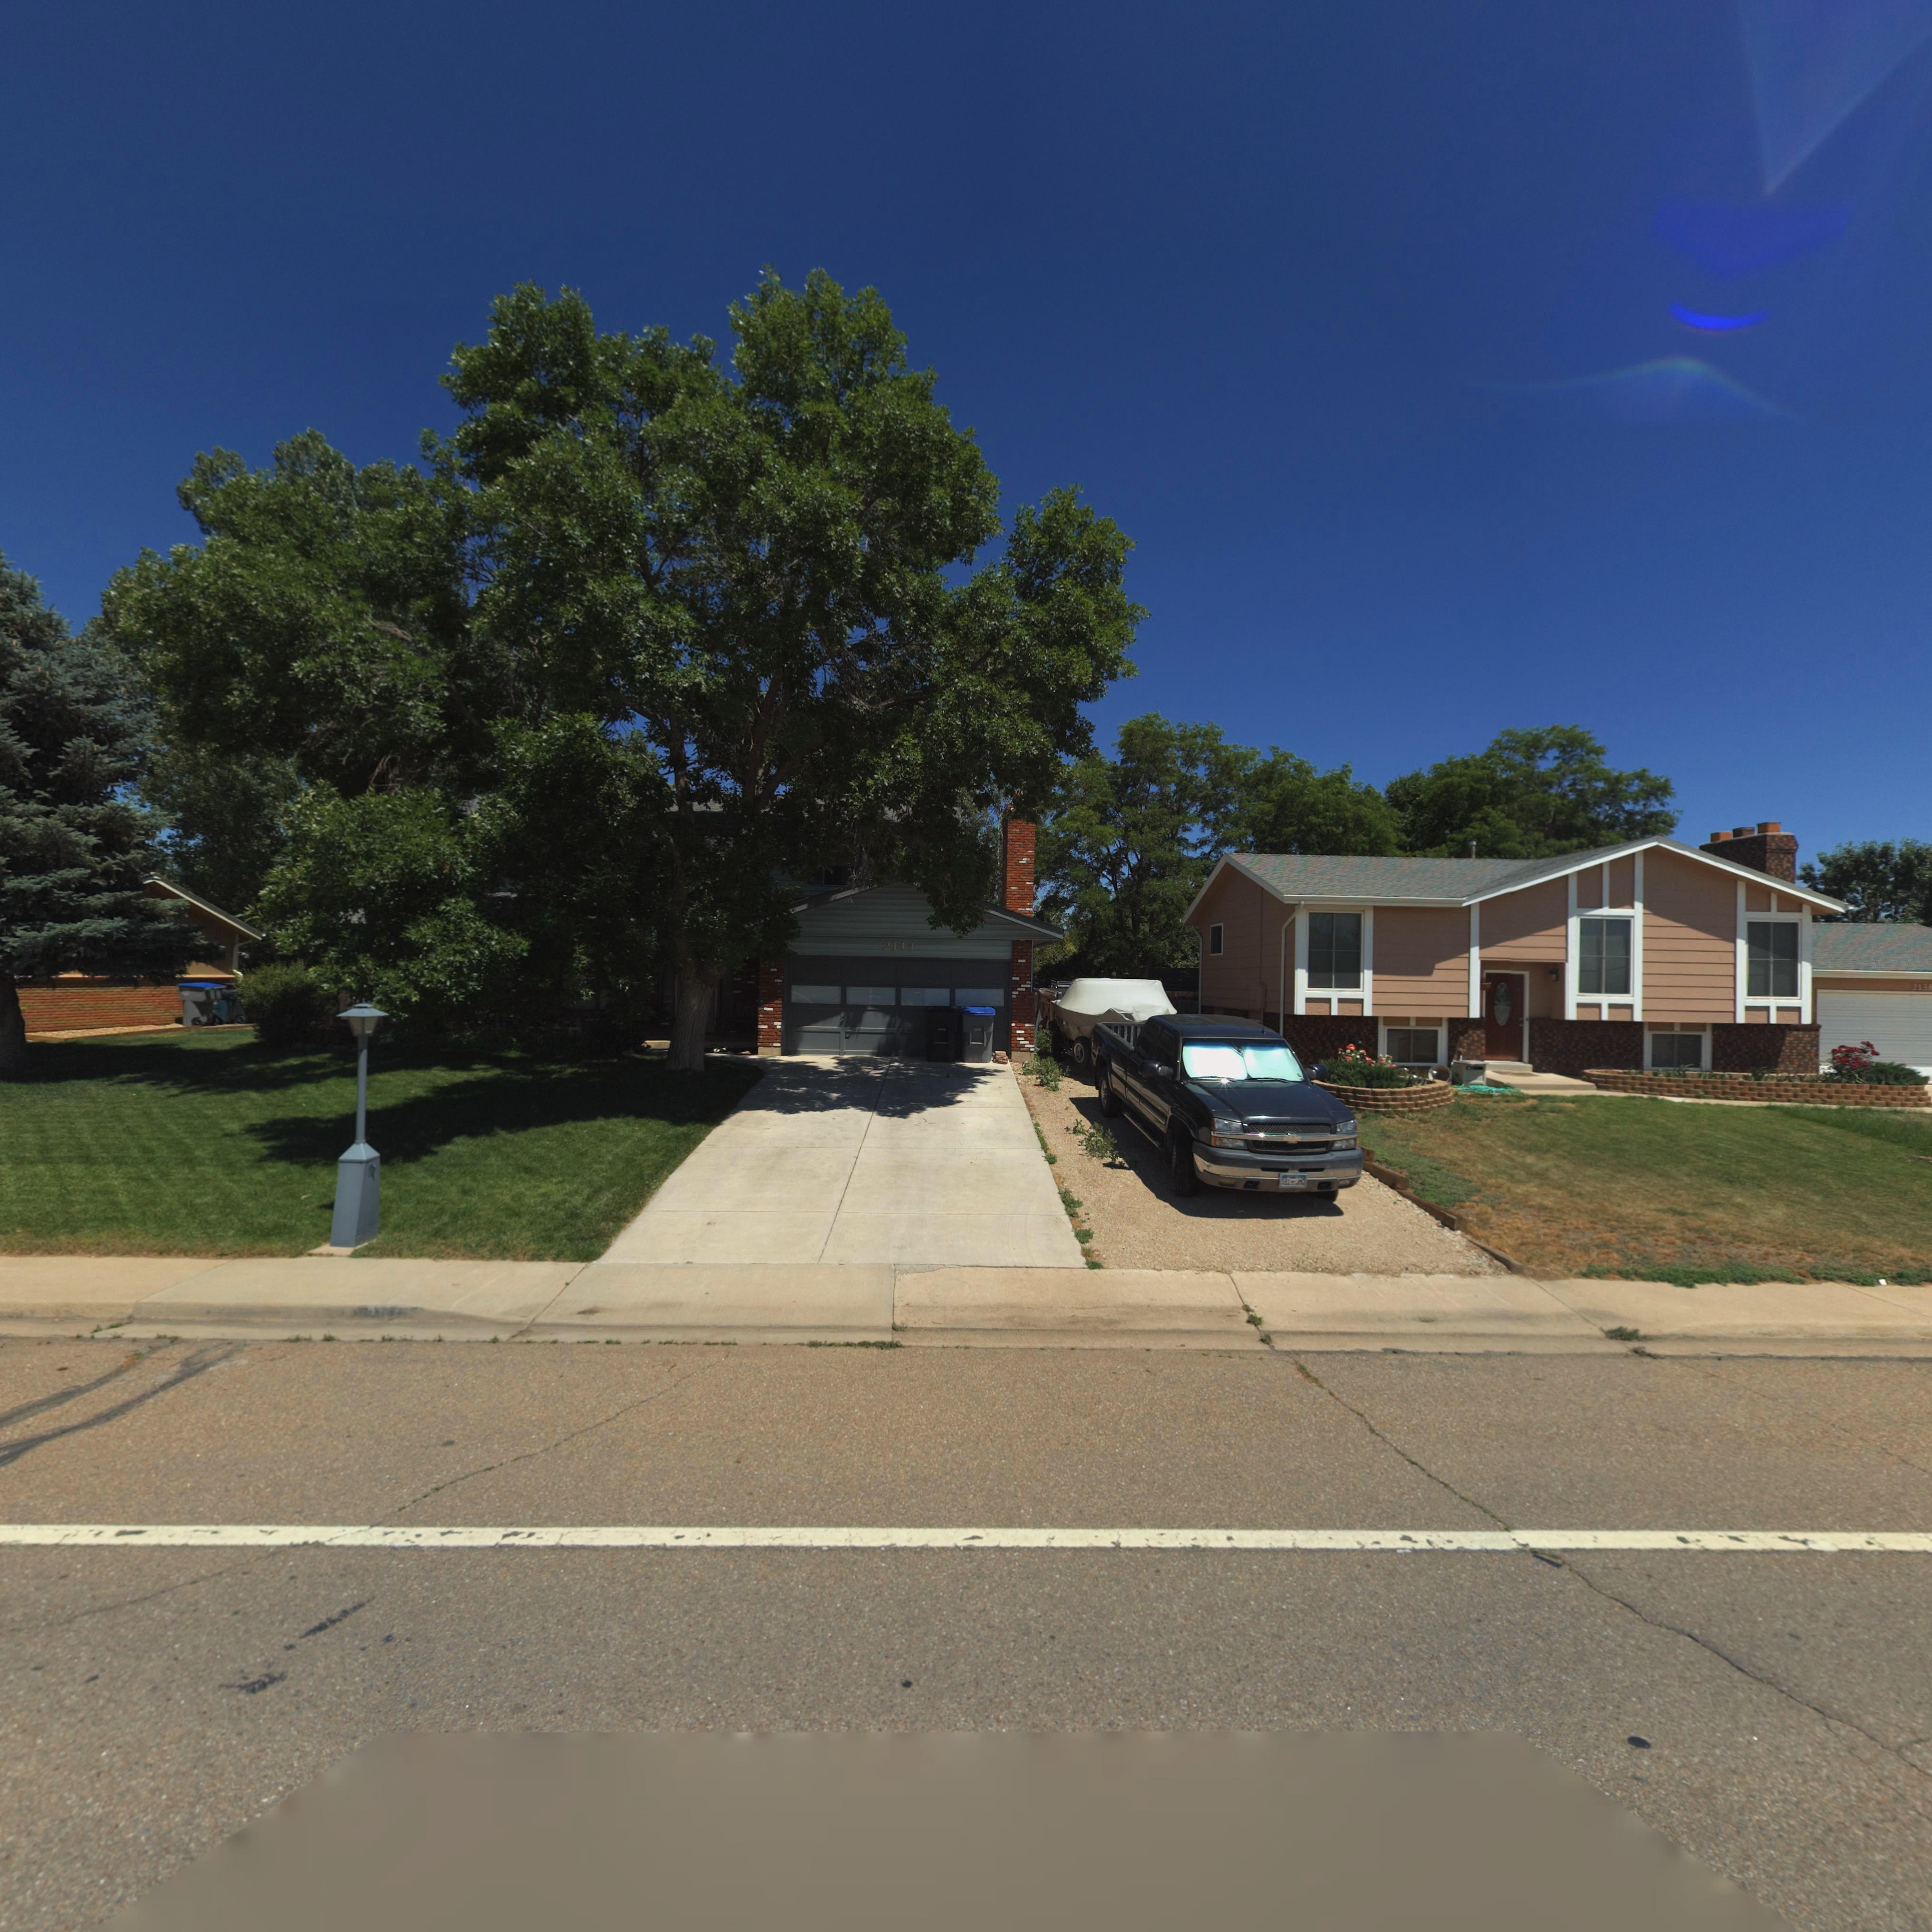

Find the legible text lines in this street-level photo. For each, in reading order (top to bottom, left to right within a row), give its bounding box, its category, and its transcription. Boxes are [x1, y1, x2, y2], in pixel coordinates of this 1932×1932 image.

[883, 941, 914, 950] StreetNumber: 2144
[1911, 983, 1928, 991] StreetNumber: 213